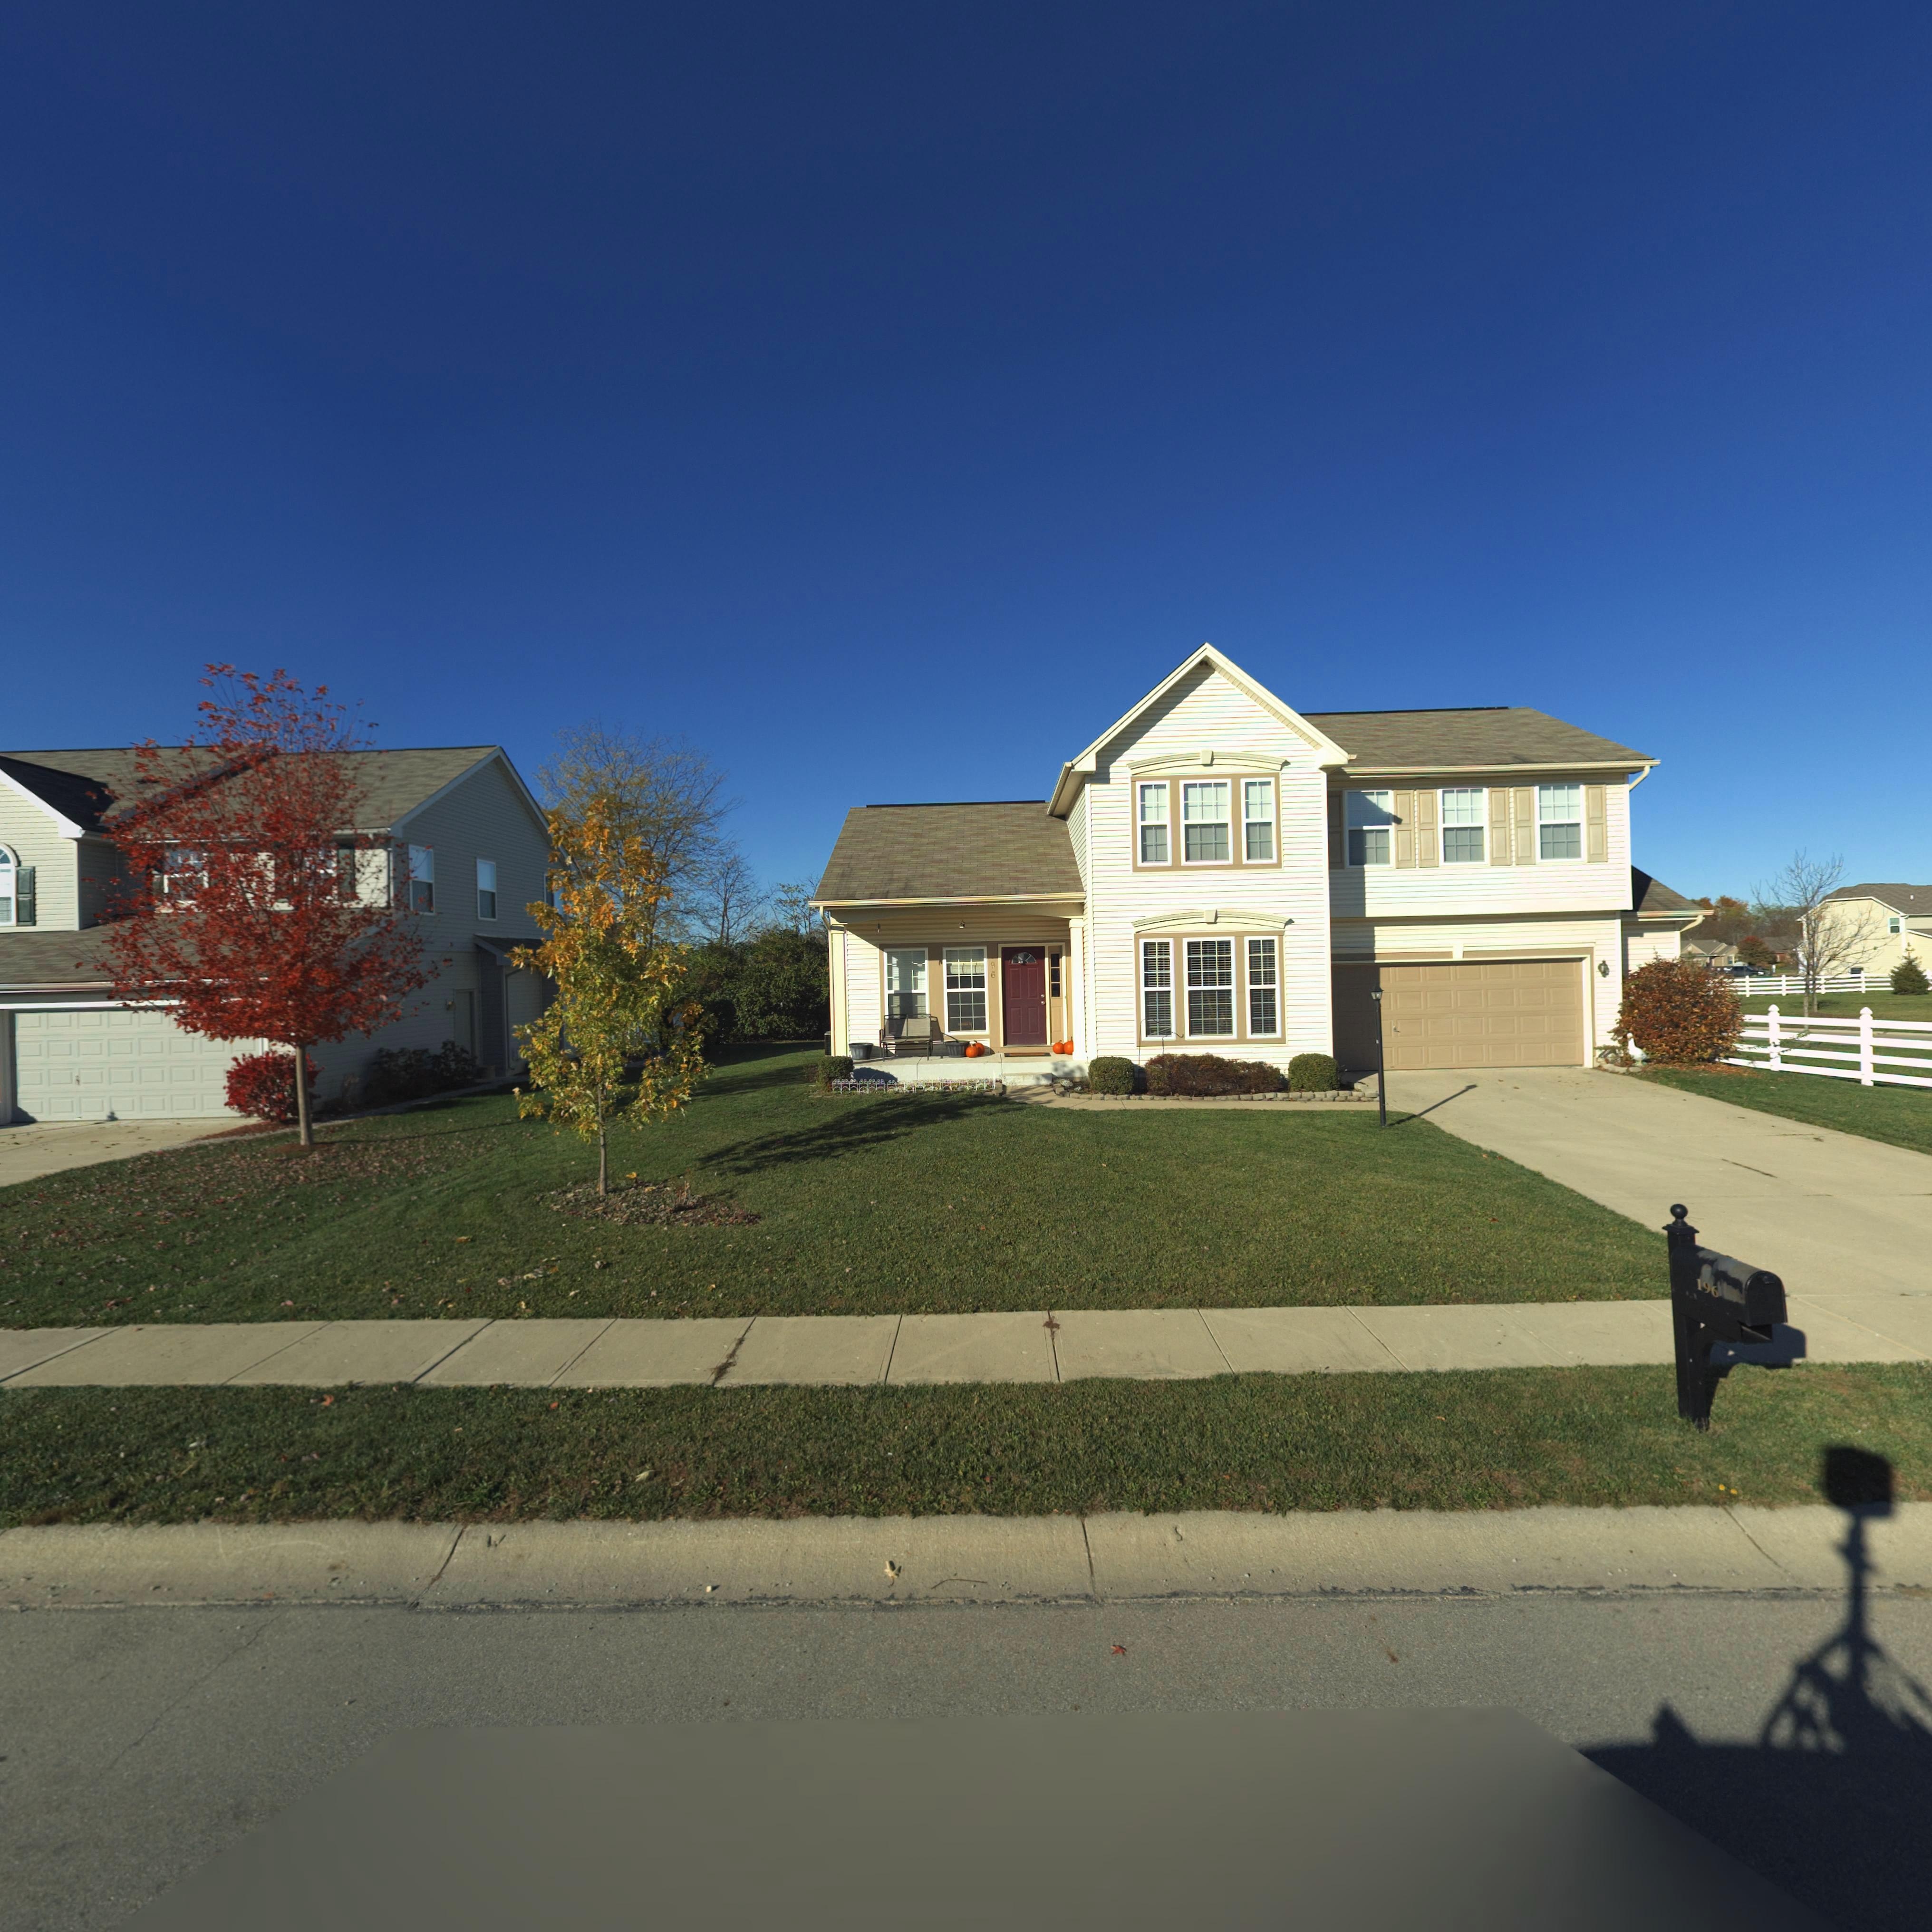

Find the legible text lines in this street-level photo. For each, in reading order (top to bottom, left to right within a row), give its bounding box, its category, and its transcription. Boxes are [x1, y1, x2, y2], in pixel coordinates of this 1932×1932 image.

[990, 951, 996, 979] StreetNumber: *96
[1696, 1277, 1721, 1300] StreetNumber: 196